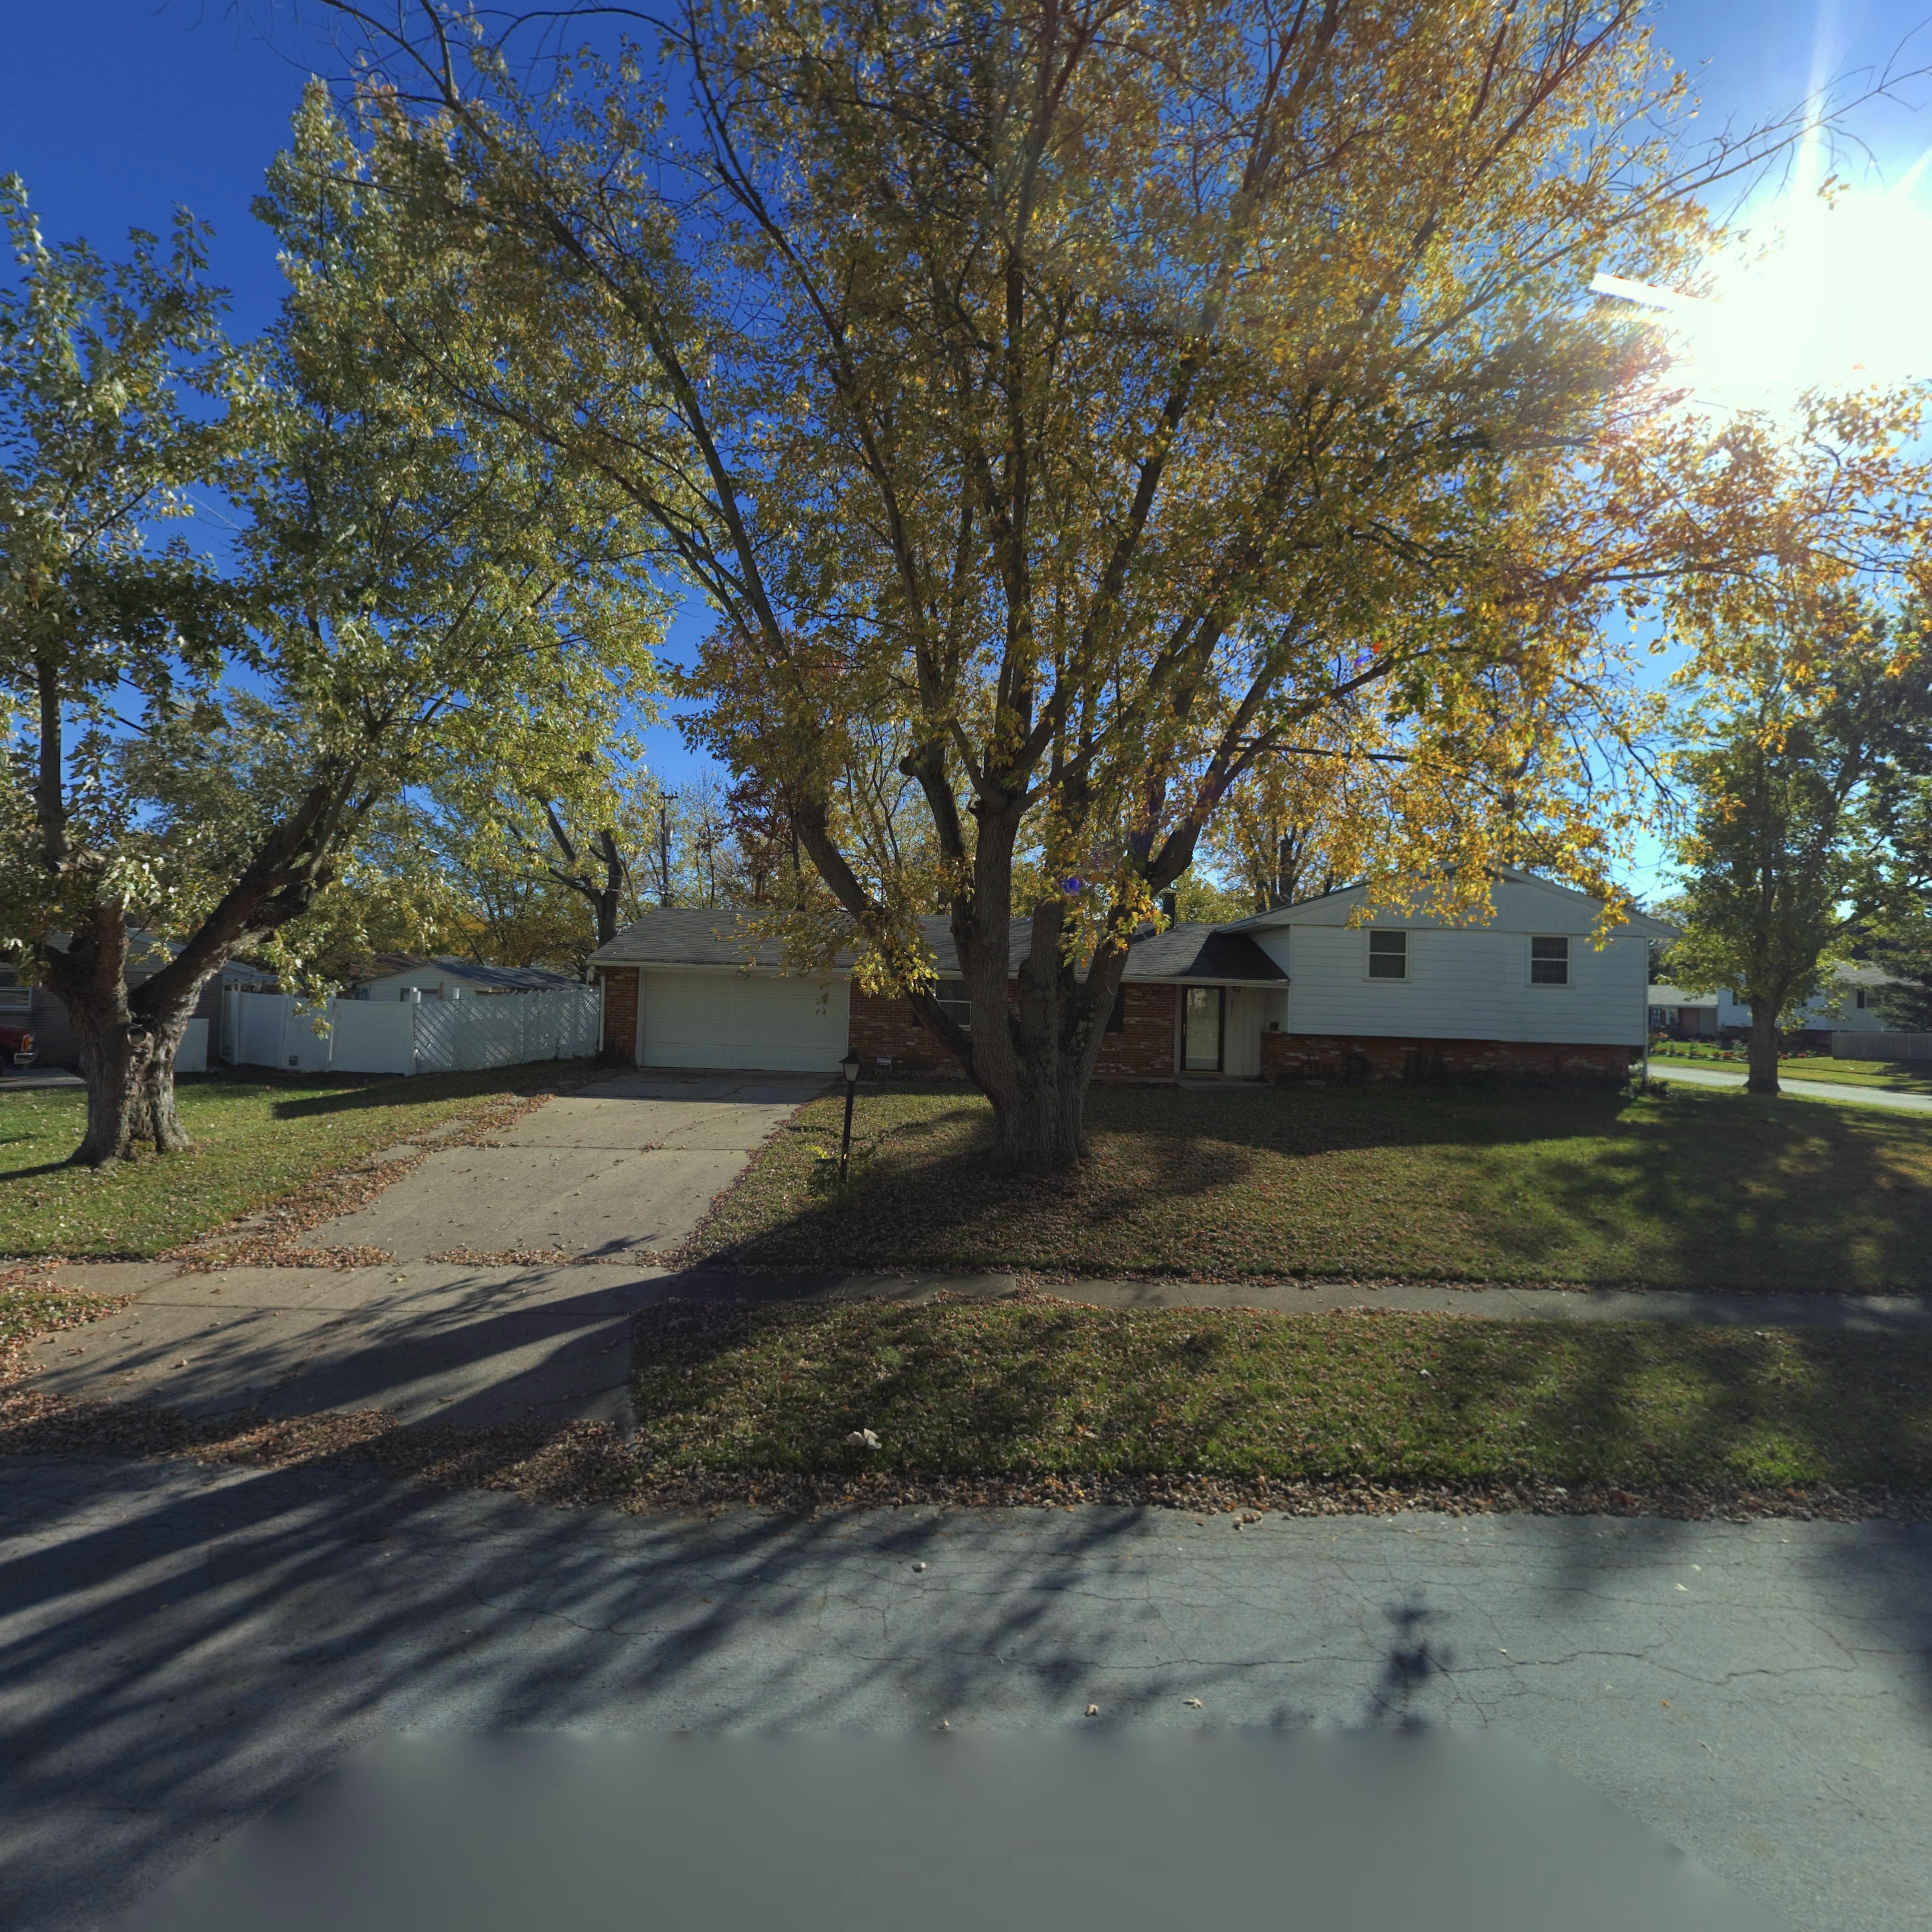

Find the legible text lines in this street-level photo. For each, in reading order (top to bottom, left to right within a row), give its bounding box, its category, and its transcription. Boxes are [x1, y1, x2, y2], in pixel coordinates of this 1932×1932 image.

[1229, 995, 1234, 1018] StreetNumber: 6855